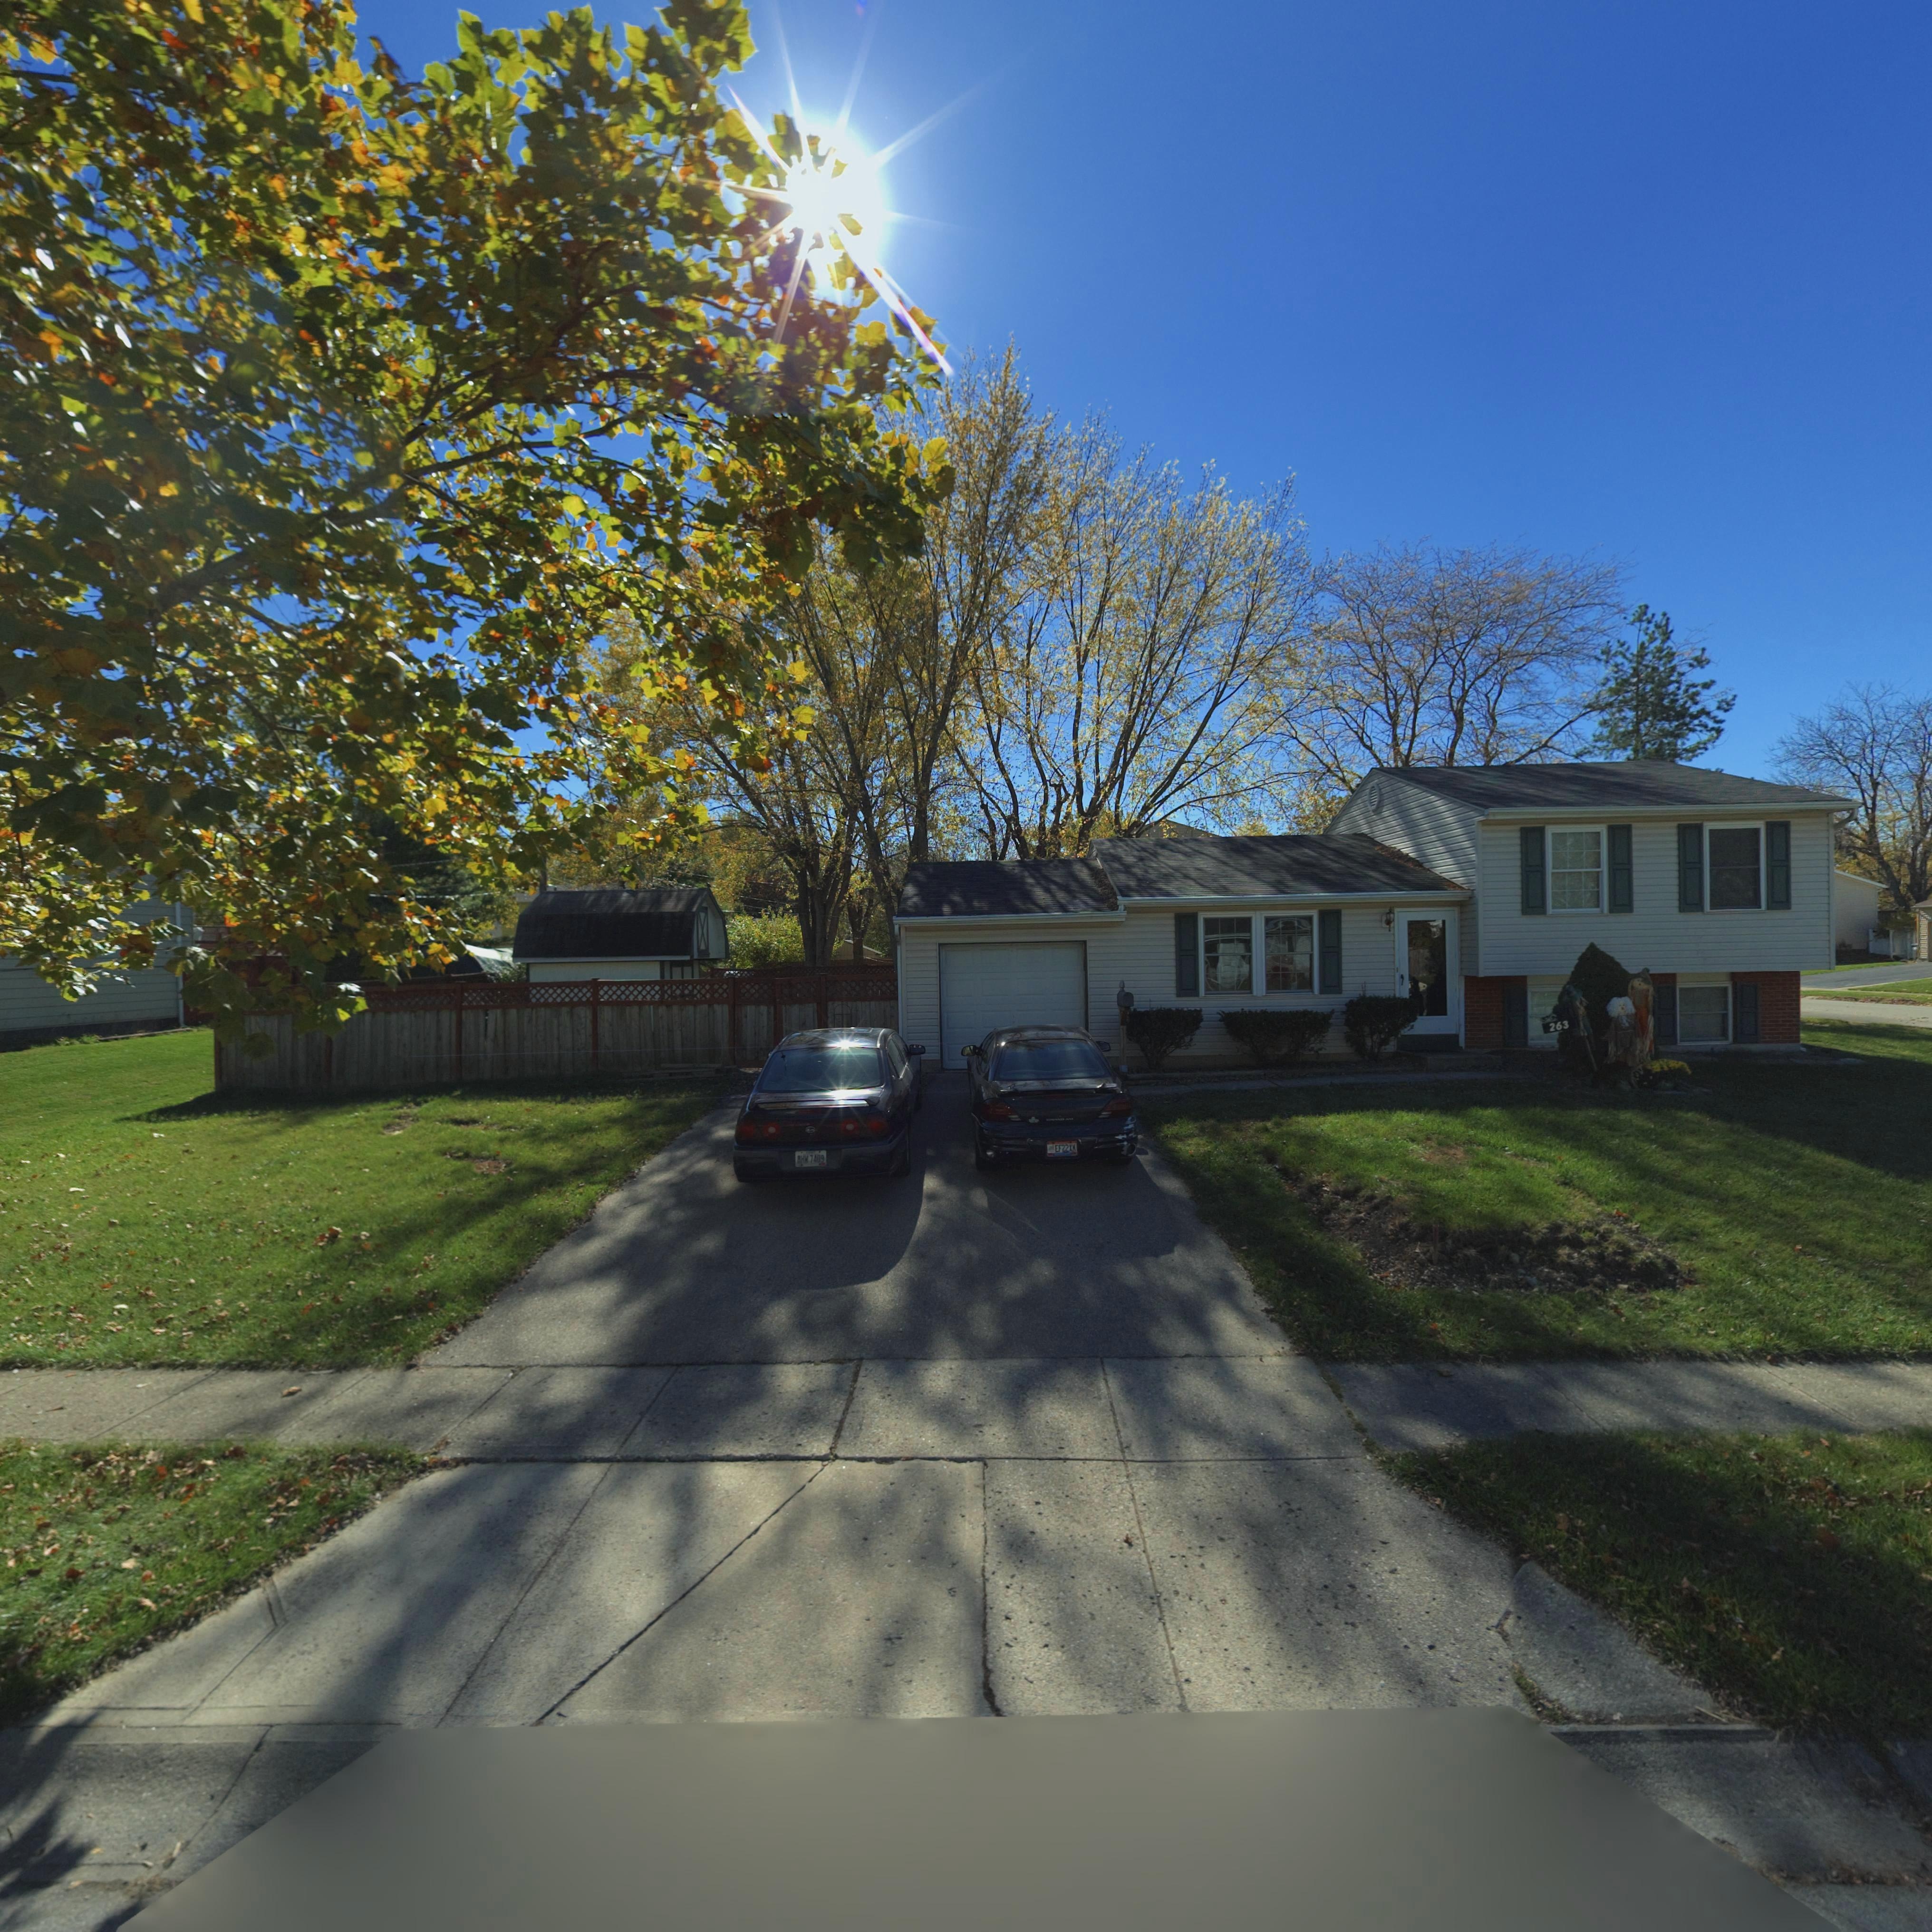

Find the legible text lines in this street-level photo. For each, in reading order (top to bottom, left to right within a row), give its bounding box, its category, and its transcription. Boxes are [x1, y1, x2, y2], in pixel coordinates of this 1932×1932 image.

[1547, 1018, 1571, 1034] StreetNumber: 263